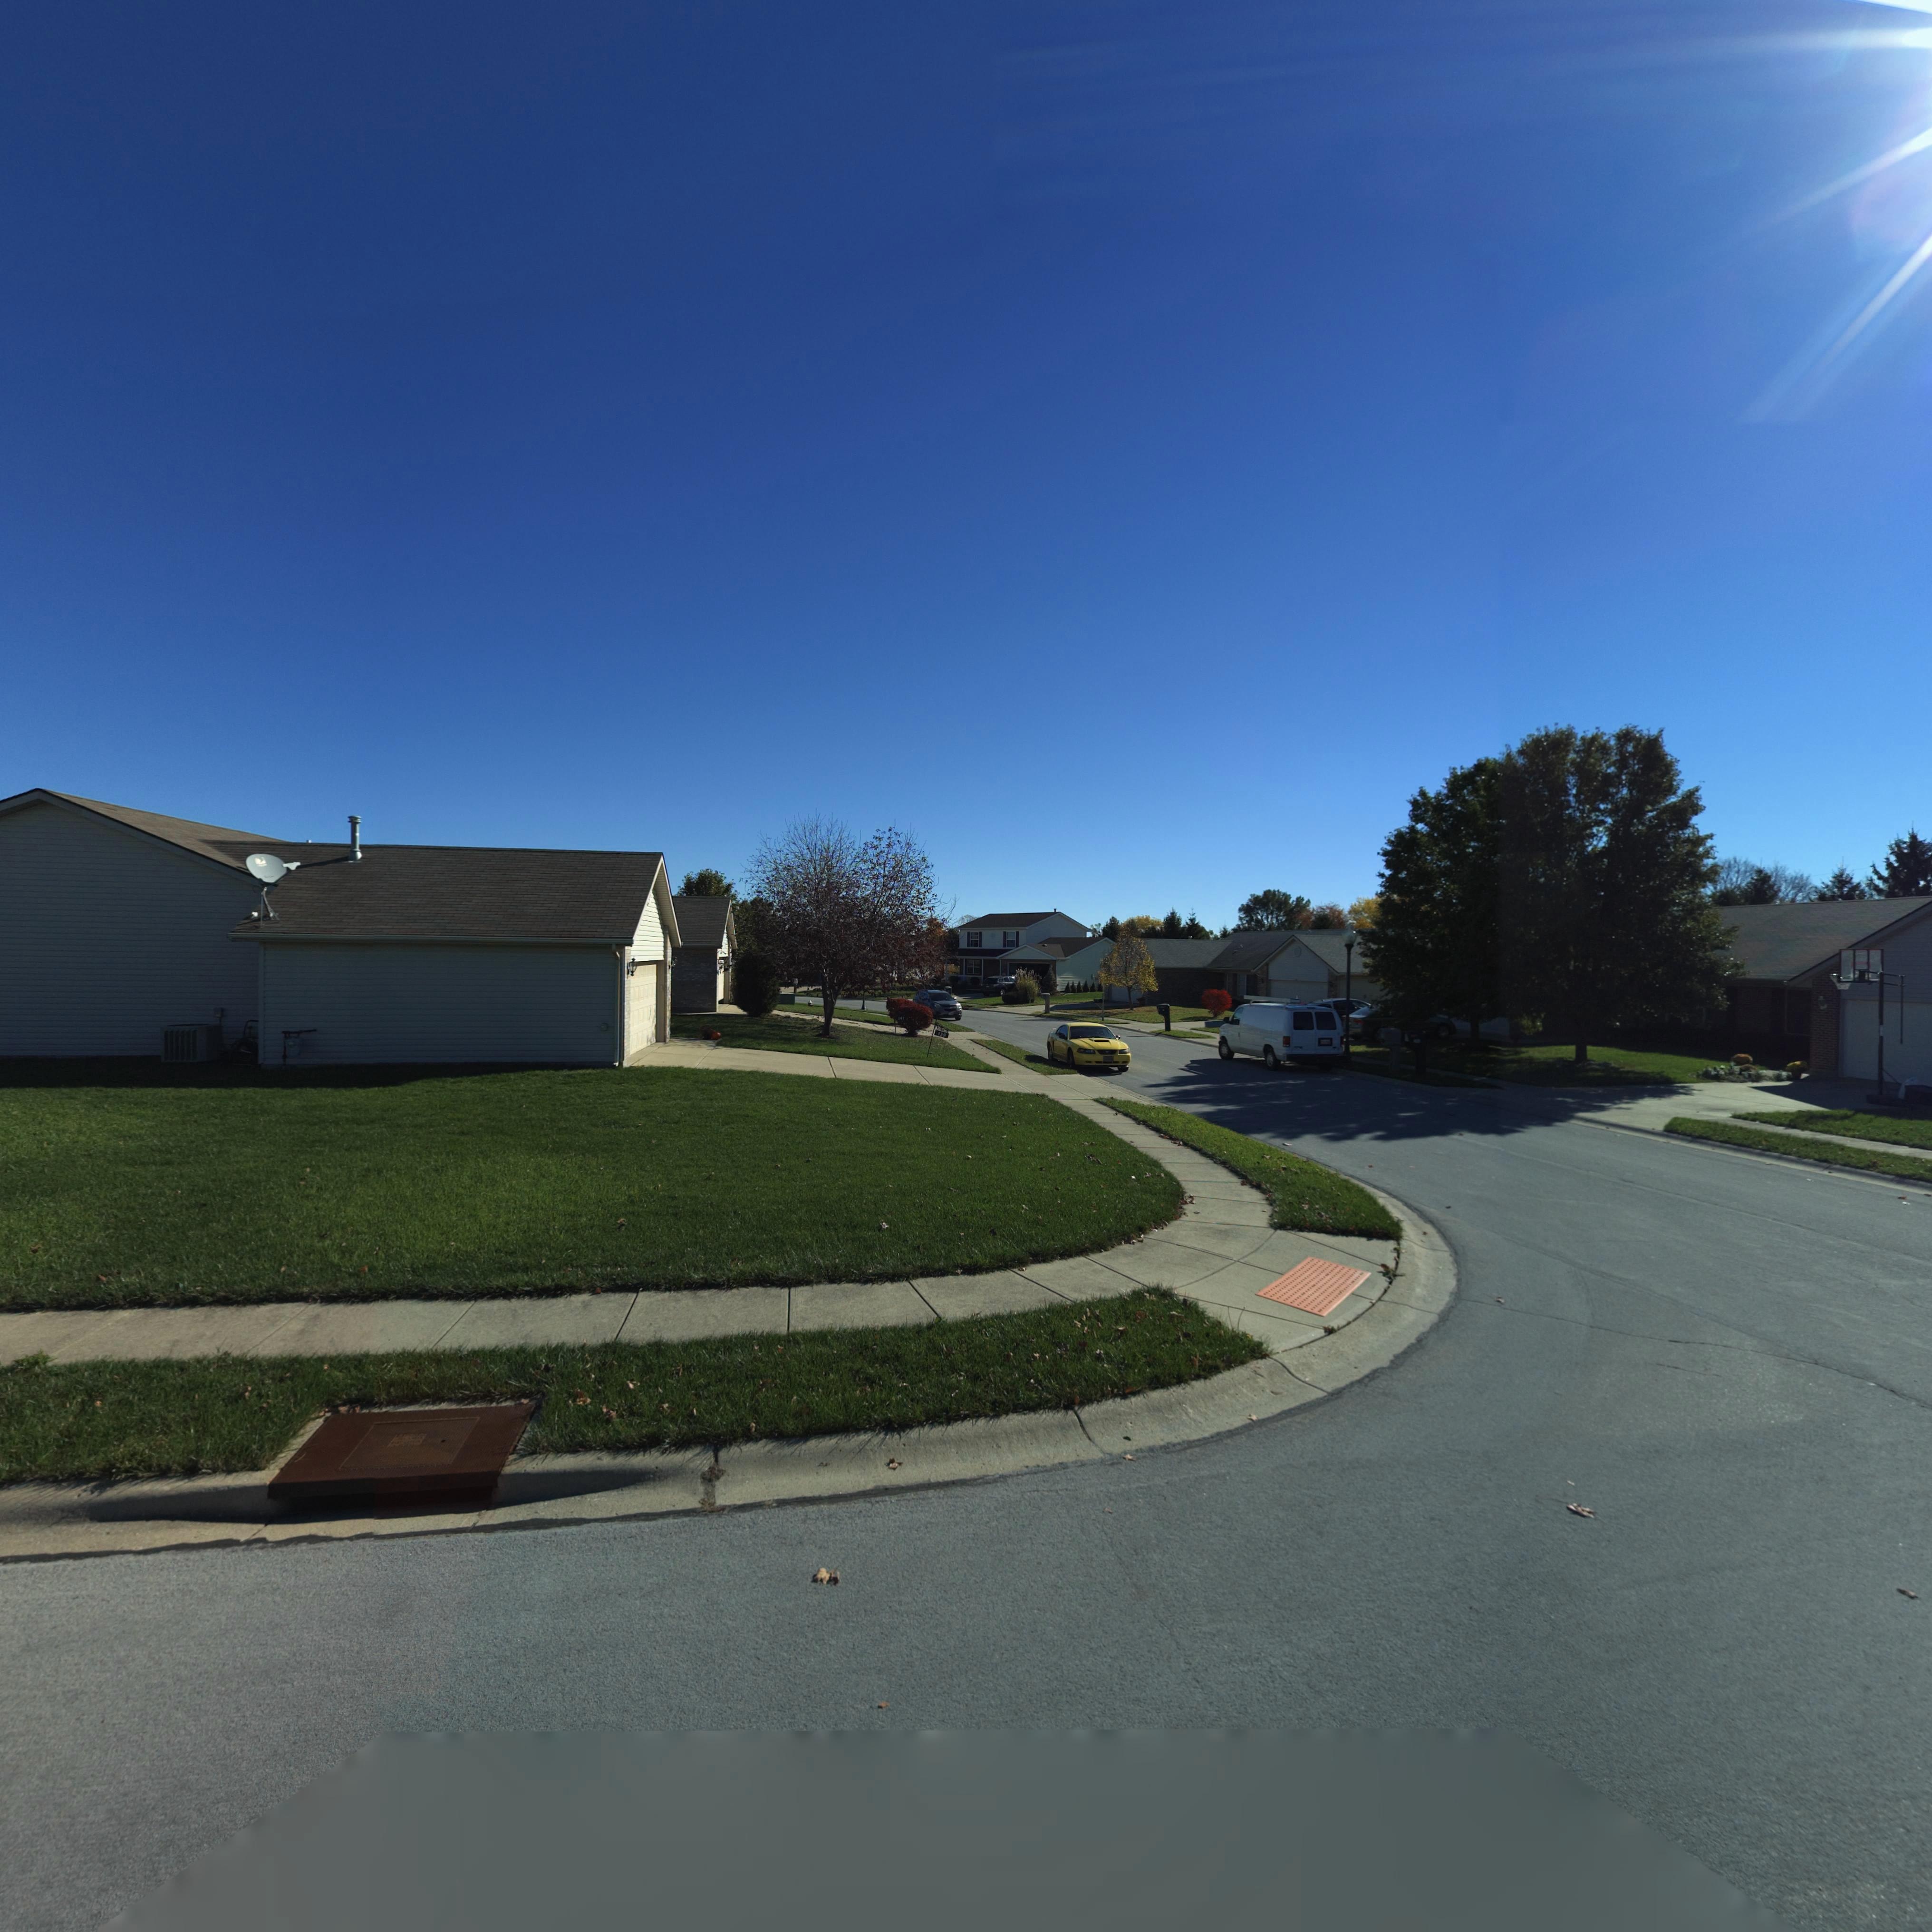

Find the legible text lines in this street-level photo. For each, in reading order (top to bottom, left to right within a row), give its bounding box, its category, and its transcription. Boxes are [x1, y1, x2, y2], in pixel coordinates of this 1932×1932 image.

[898, 1016, 905, 1021] StreetNumber: 141
[937, 1031, 947, 1038] StreetNumber: 139